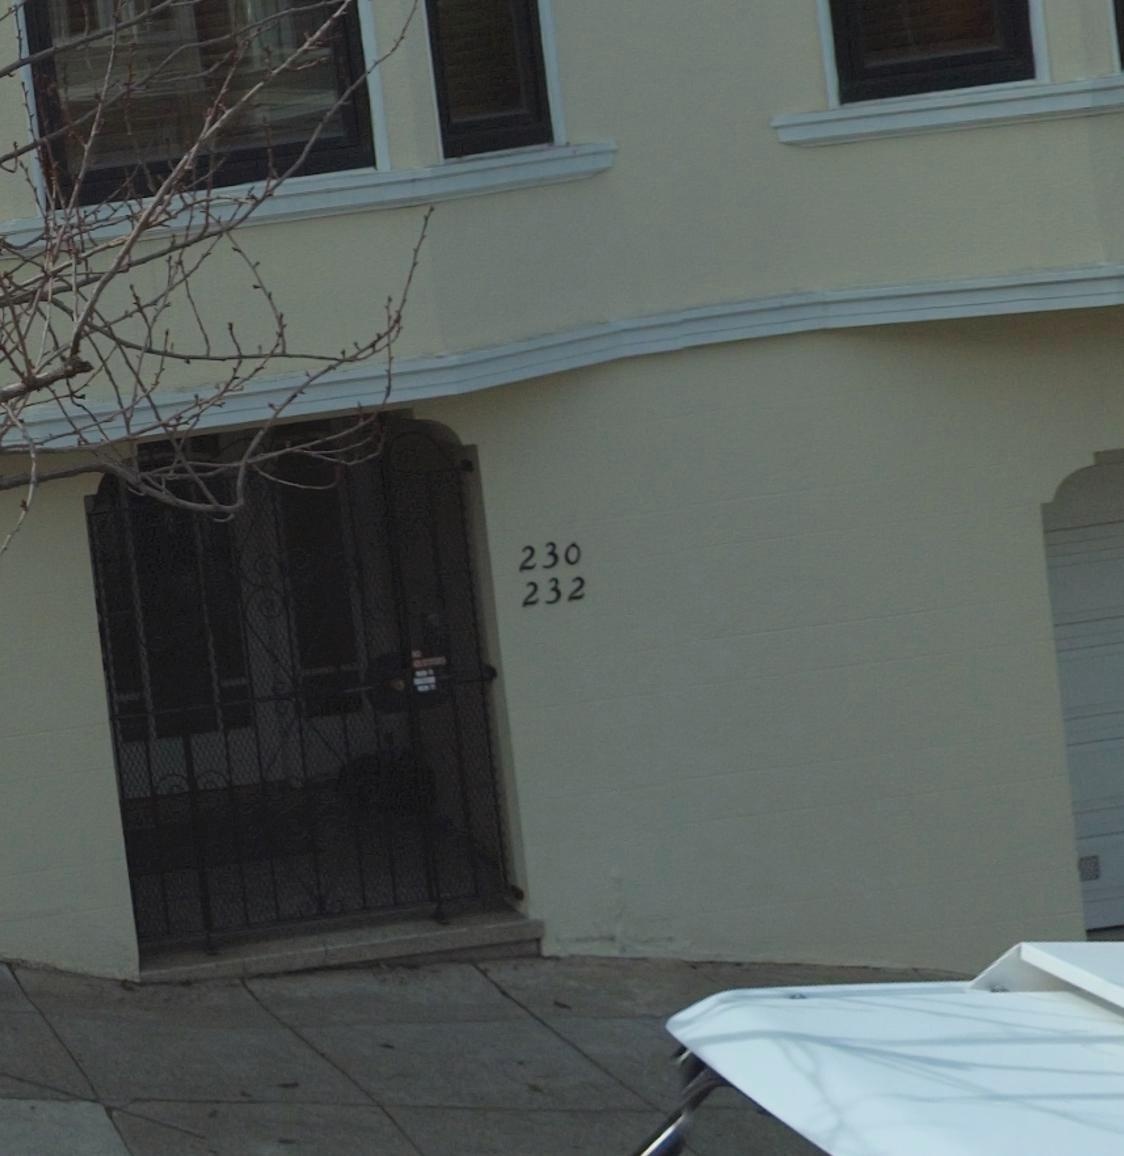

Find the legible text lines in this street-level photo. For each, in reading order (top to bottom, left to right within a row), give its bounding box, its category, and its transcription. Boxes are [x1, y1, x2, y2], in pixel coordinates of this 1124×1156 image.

[517, 537, 582, 572] StreetNumber: 230
[520, 573, 587, 609] StreetNumber: 232